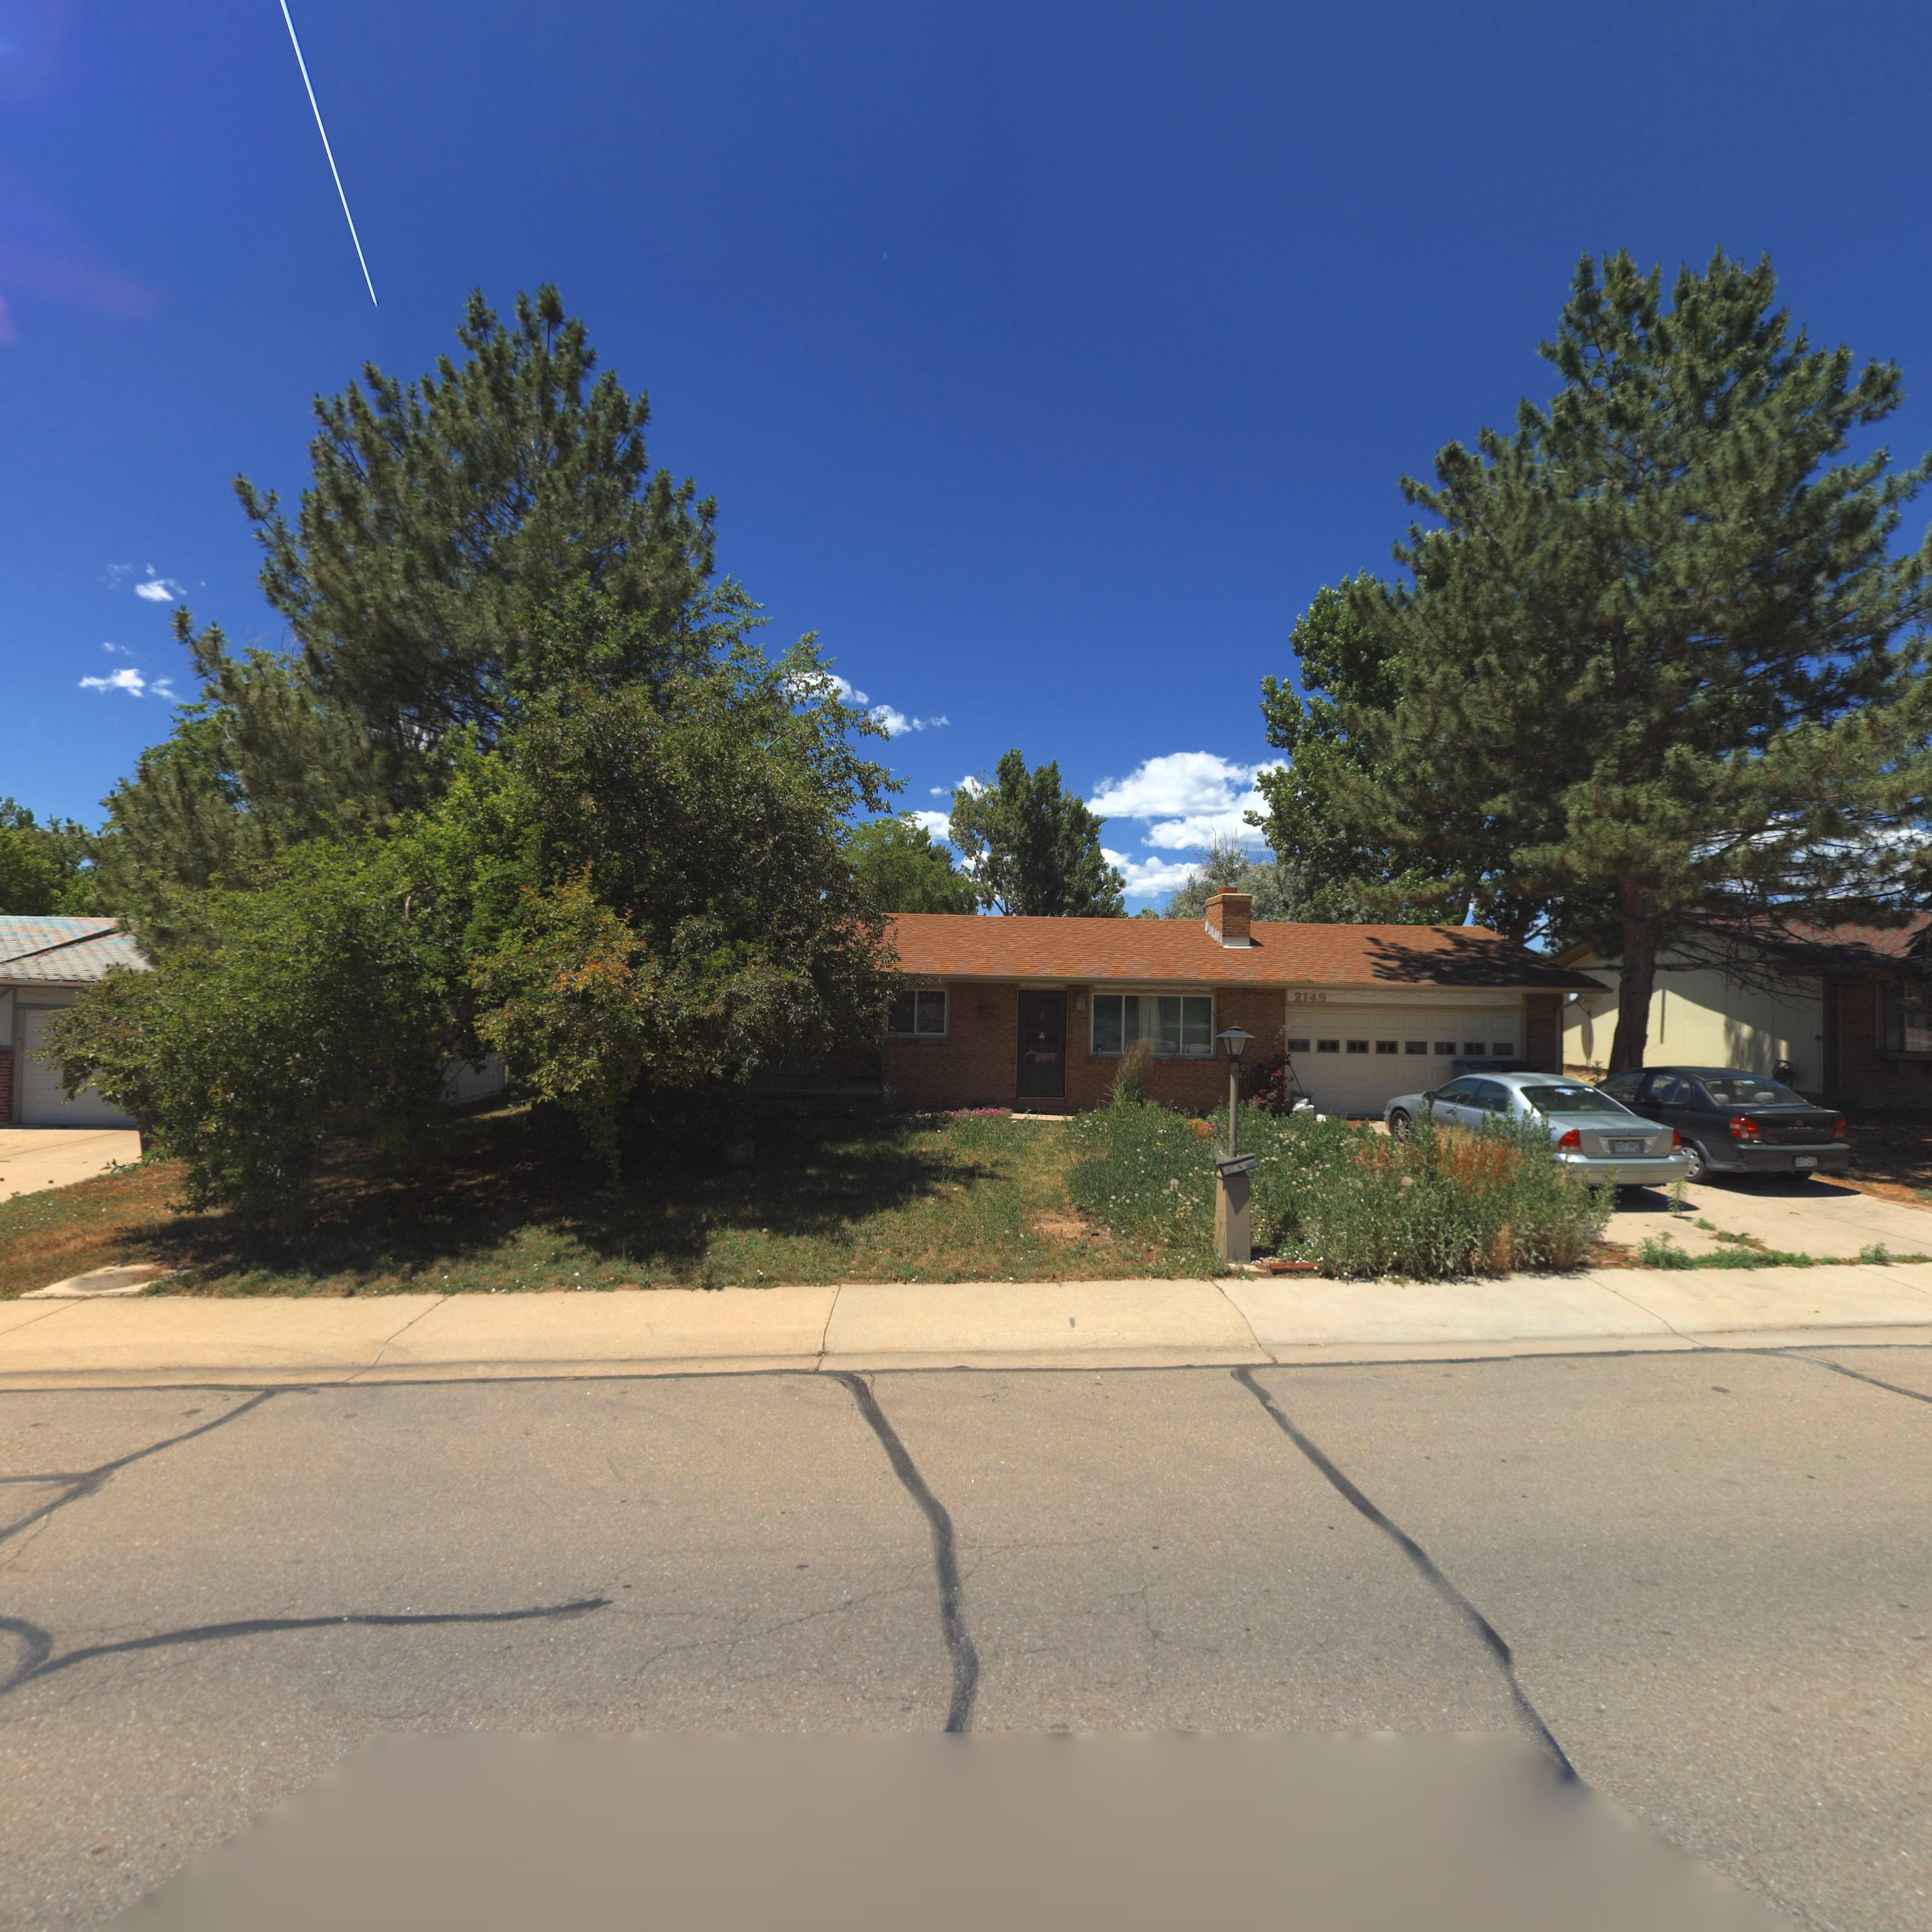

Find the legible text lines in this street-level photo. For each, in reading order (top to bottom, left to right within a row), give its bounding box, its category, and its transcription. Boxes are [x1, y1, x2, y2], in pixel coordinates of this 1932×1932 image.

[1293, 991, 1328, 1003] StreetNumber: 2149